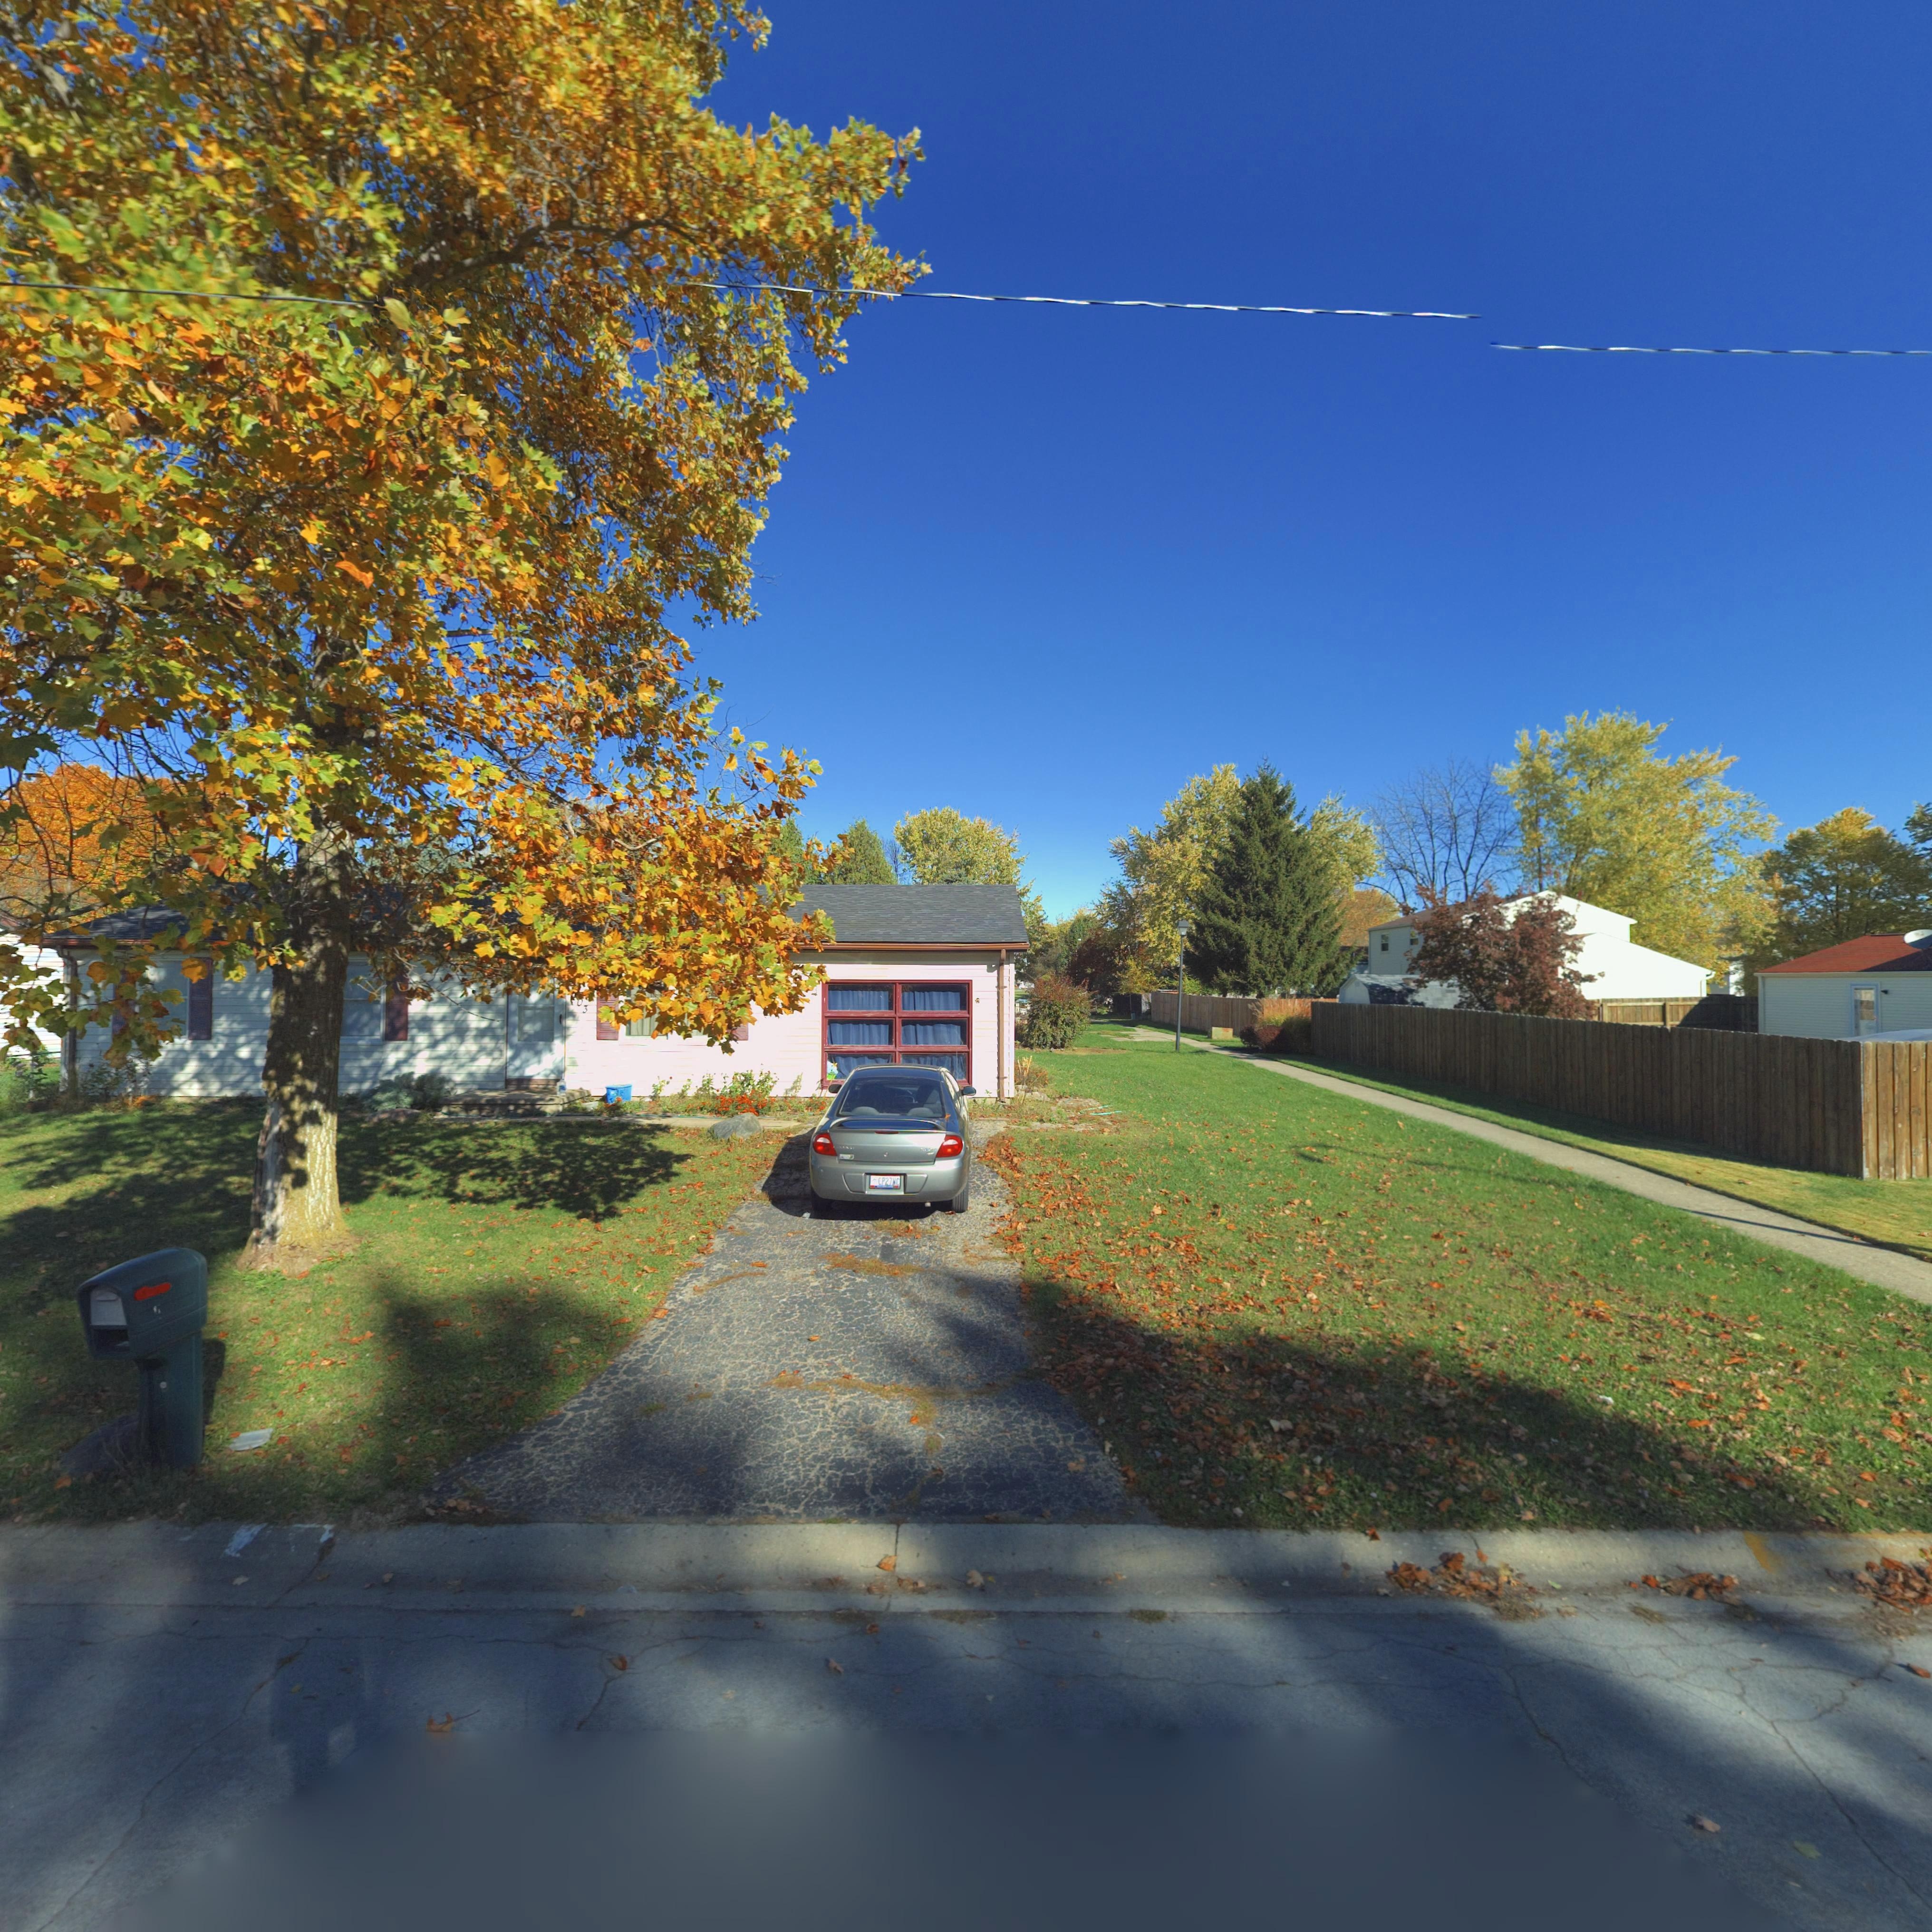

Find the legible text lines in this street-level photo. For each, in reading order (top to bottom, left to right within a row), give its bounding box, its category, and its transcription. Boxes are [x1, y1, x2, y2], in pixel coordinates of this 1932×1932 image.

[575, 997, 589, 1014] StreetNumber: 03